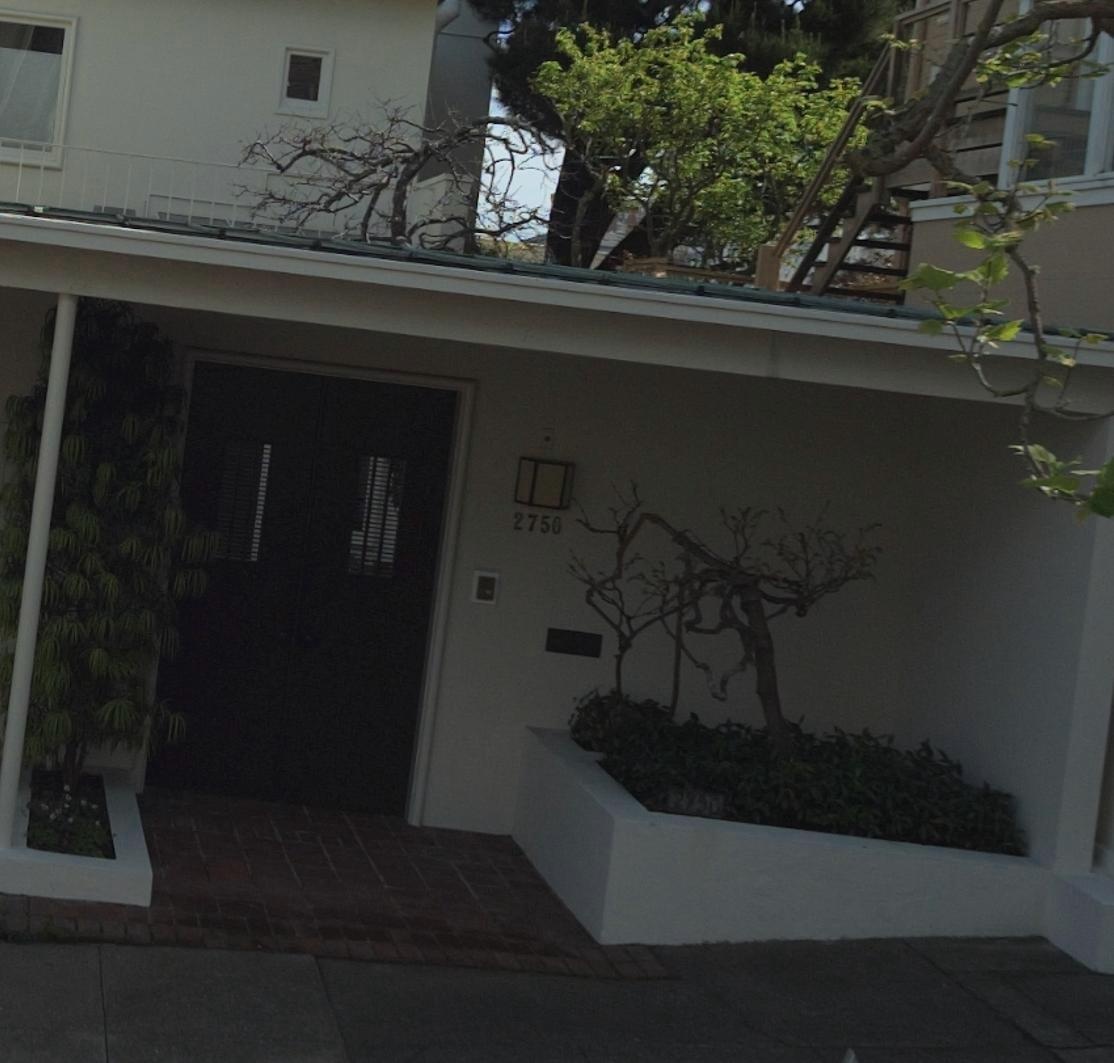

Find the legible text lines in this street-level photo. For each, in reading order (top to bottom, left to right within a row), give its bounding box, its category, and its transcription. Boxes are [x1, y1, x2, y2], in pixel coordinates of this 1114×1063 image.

[509, 509, 565, 538] StreetNumber: 2750